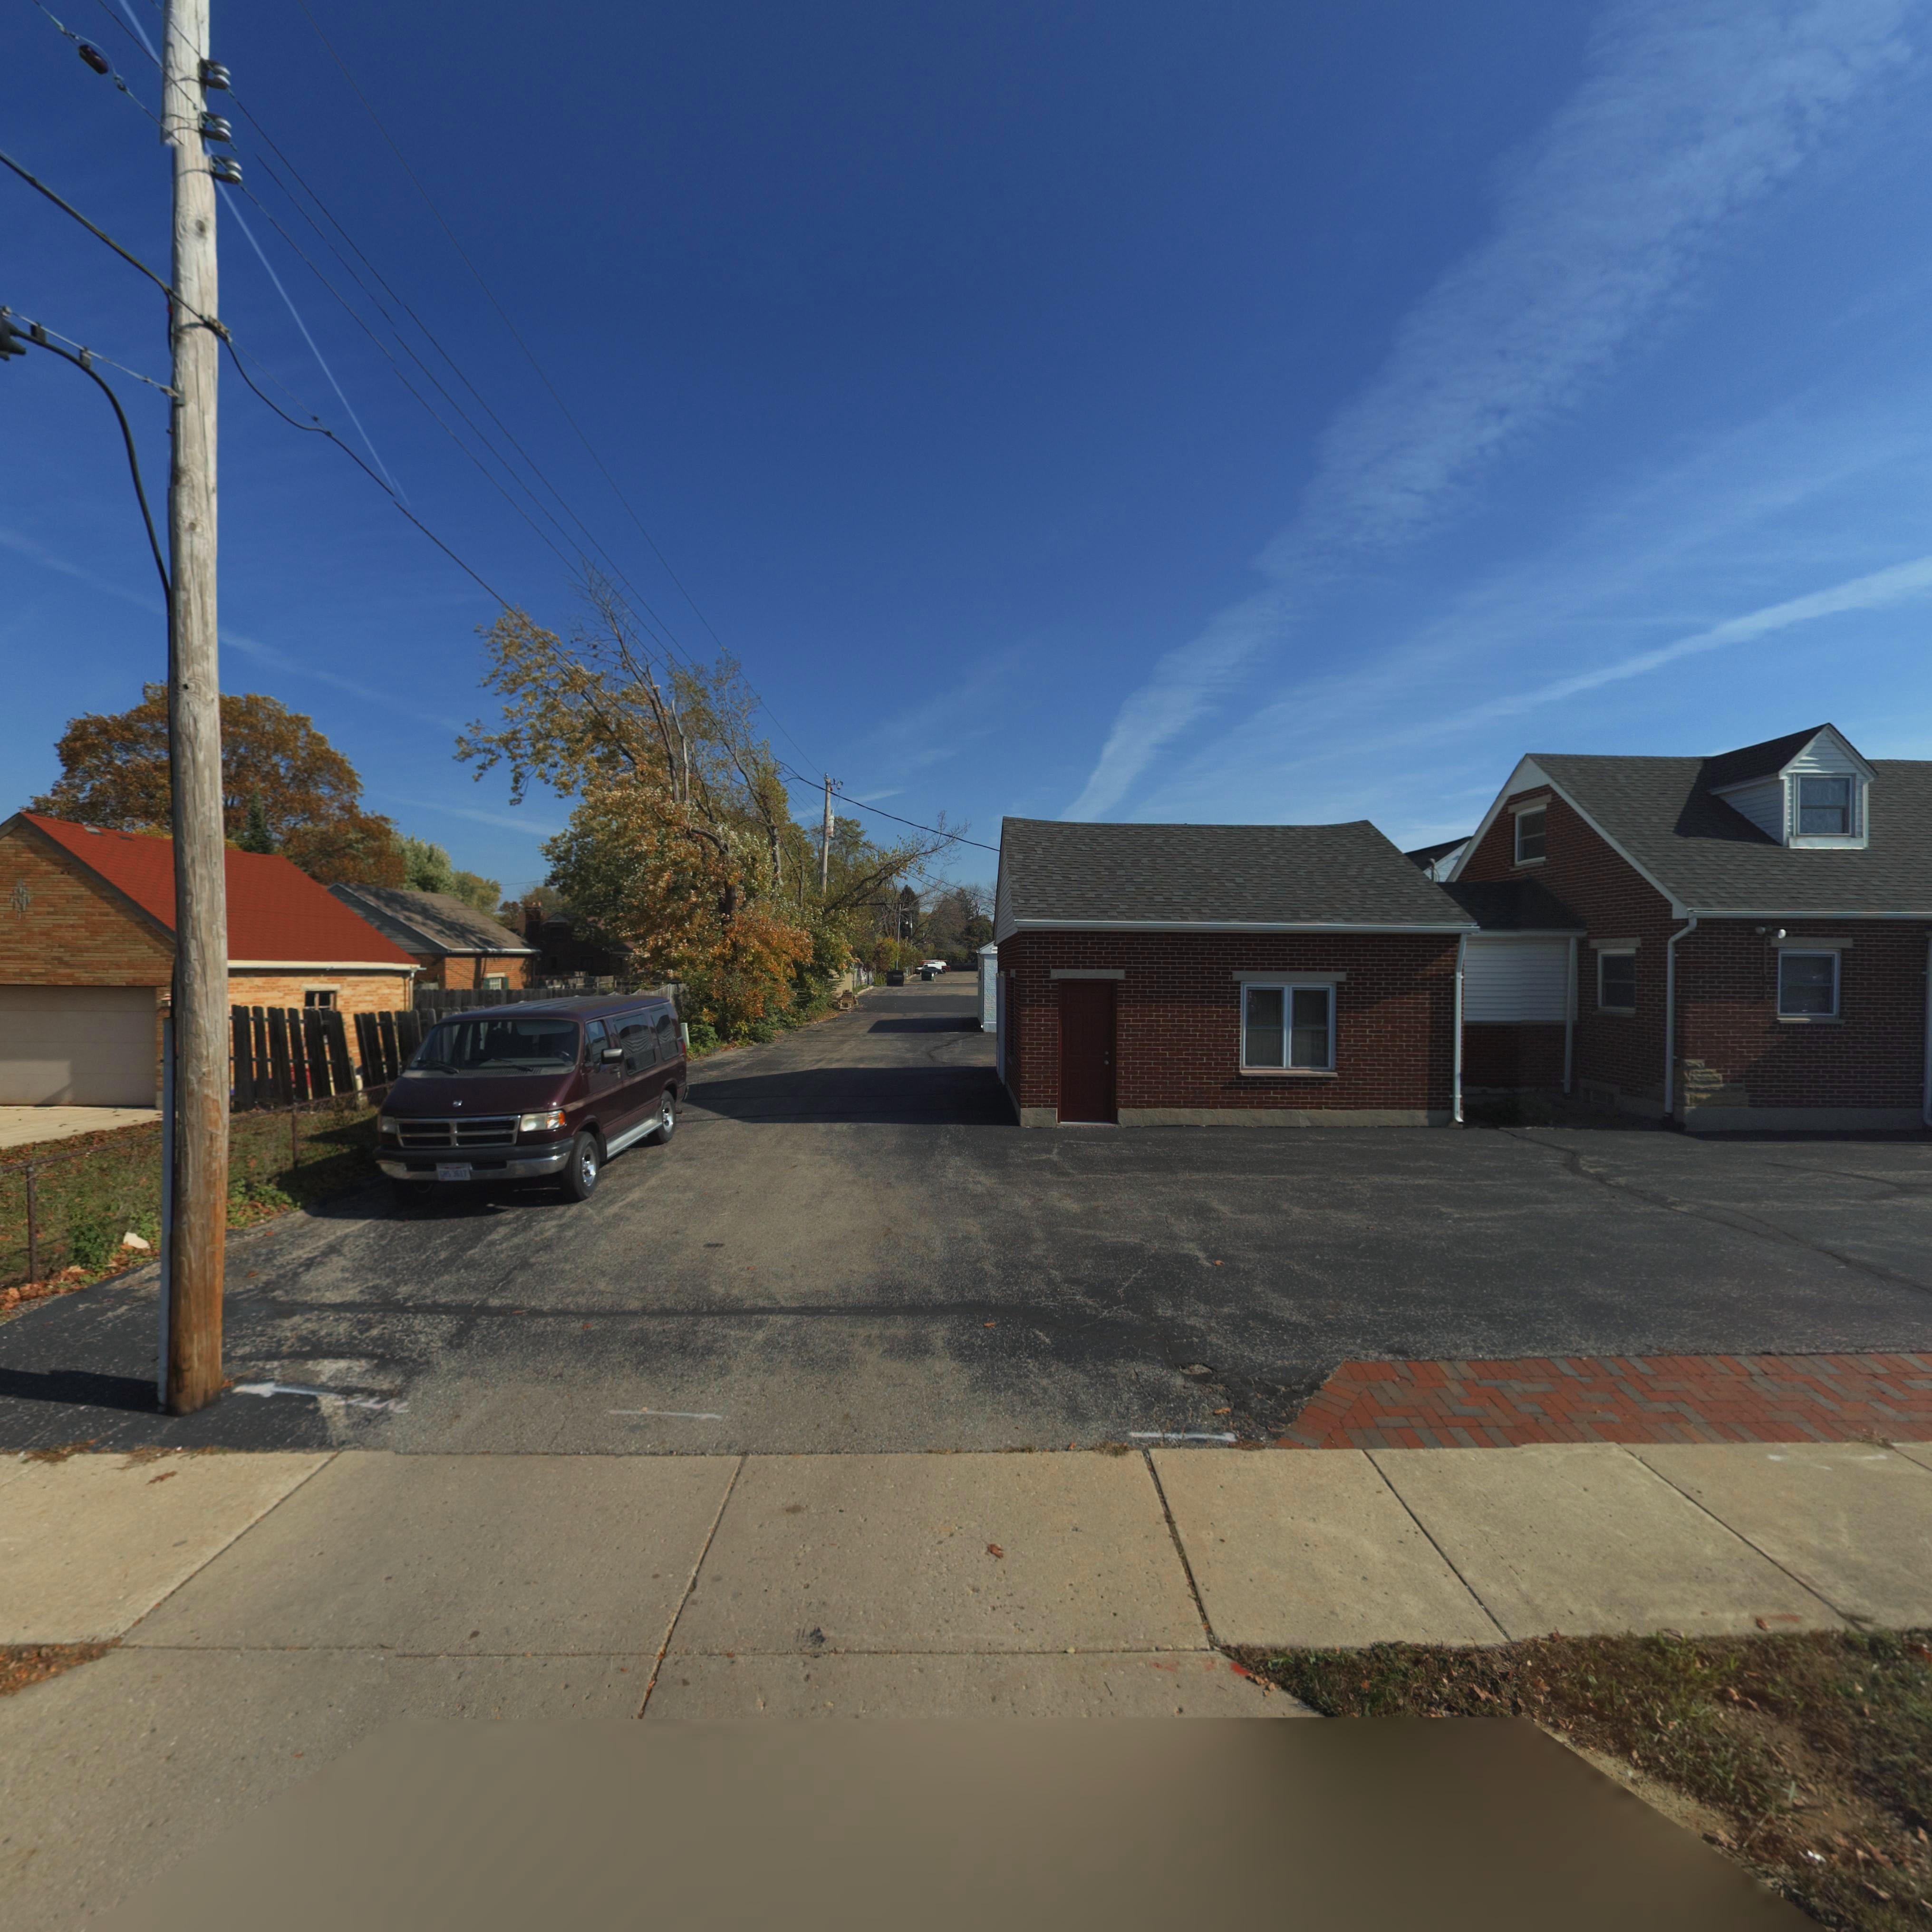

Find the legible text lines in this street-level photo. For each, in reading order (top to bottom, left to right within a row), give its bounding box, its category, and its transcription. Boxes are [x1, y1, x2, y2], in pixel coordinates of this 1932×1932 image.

[439, 1169, 468, 1179] None: GHS*3517